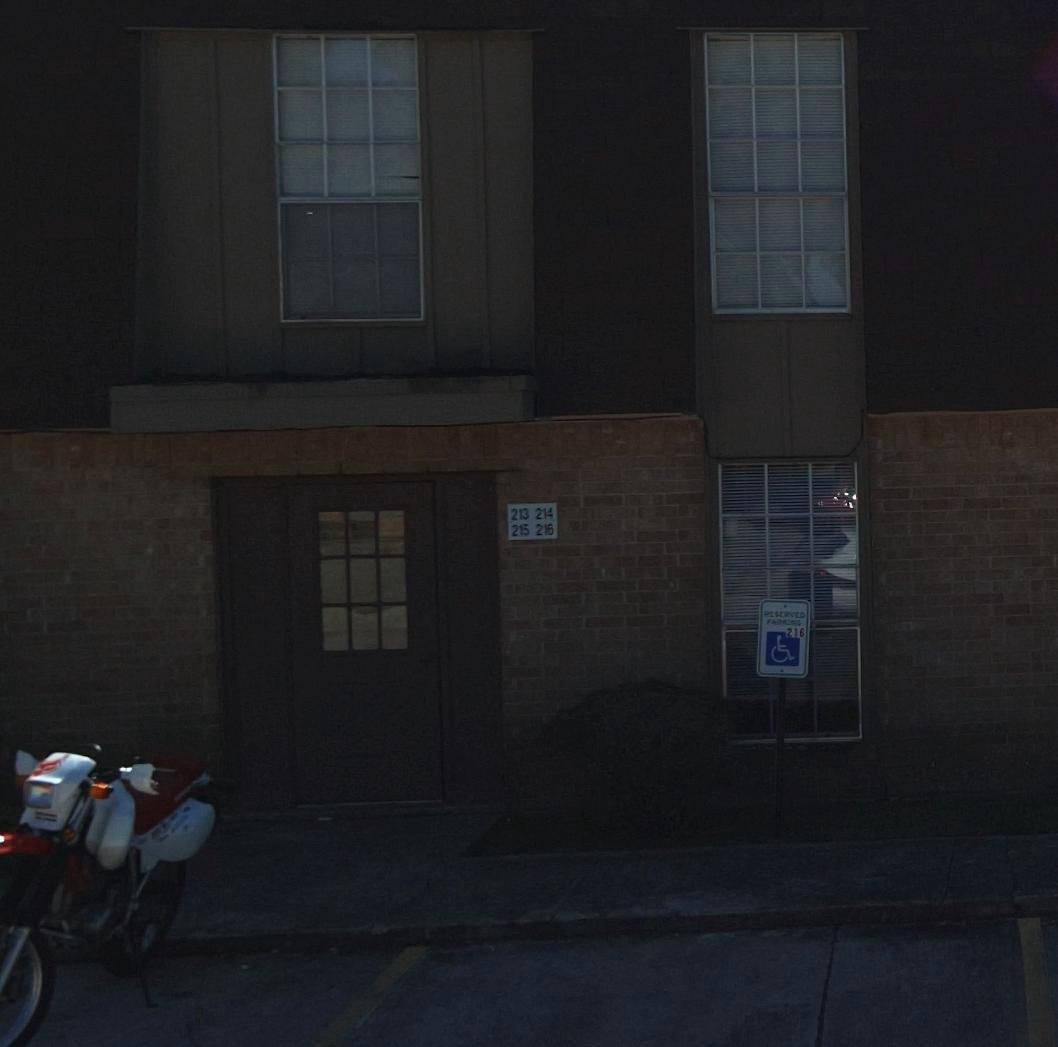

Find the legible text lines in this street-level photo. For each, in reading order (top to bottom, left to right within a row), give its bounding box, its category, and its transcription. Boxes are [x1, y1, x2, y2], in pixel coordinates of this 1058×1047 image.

[509, 506, 532, 522] StreetNumber: 213
[533, 506, 555, 522] StreetNumber: 214
[509, 522, 532, 538] StreetNumber: 215
[533, 522, 555, 538] StreetNumber: 216
[785, 626, 806, 639] None: 216